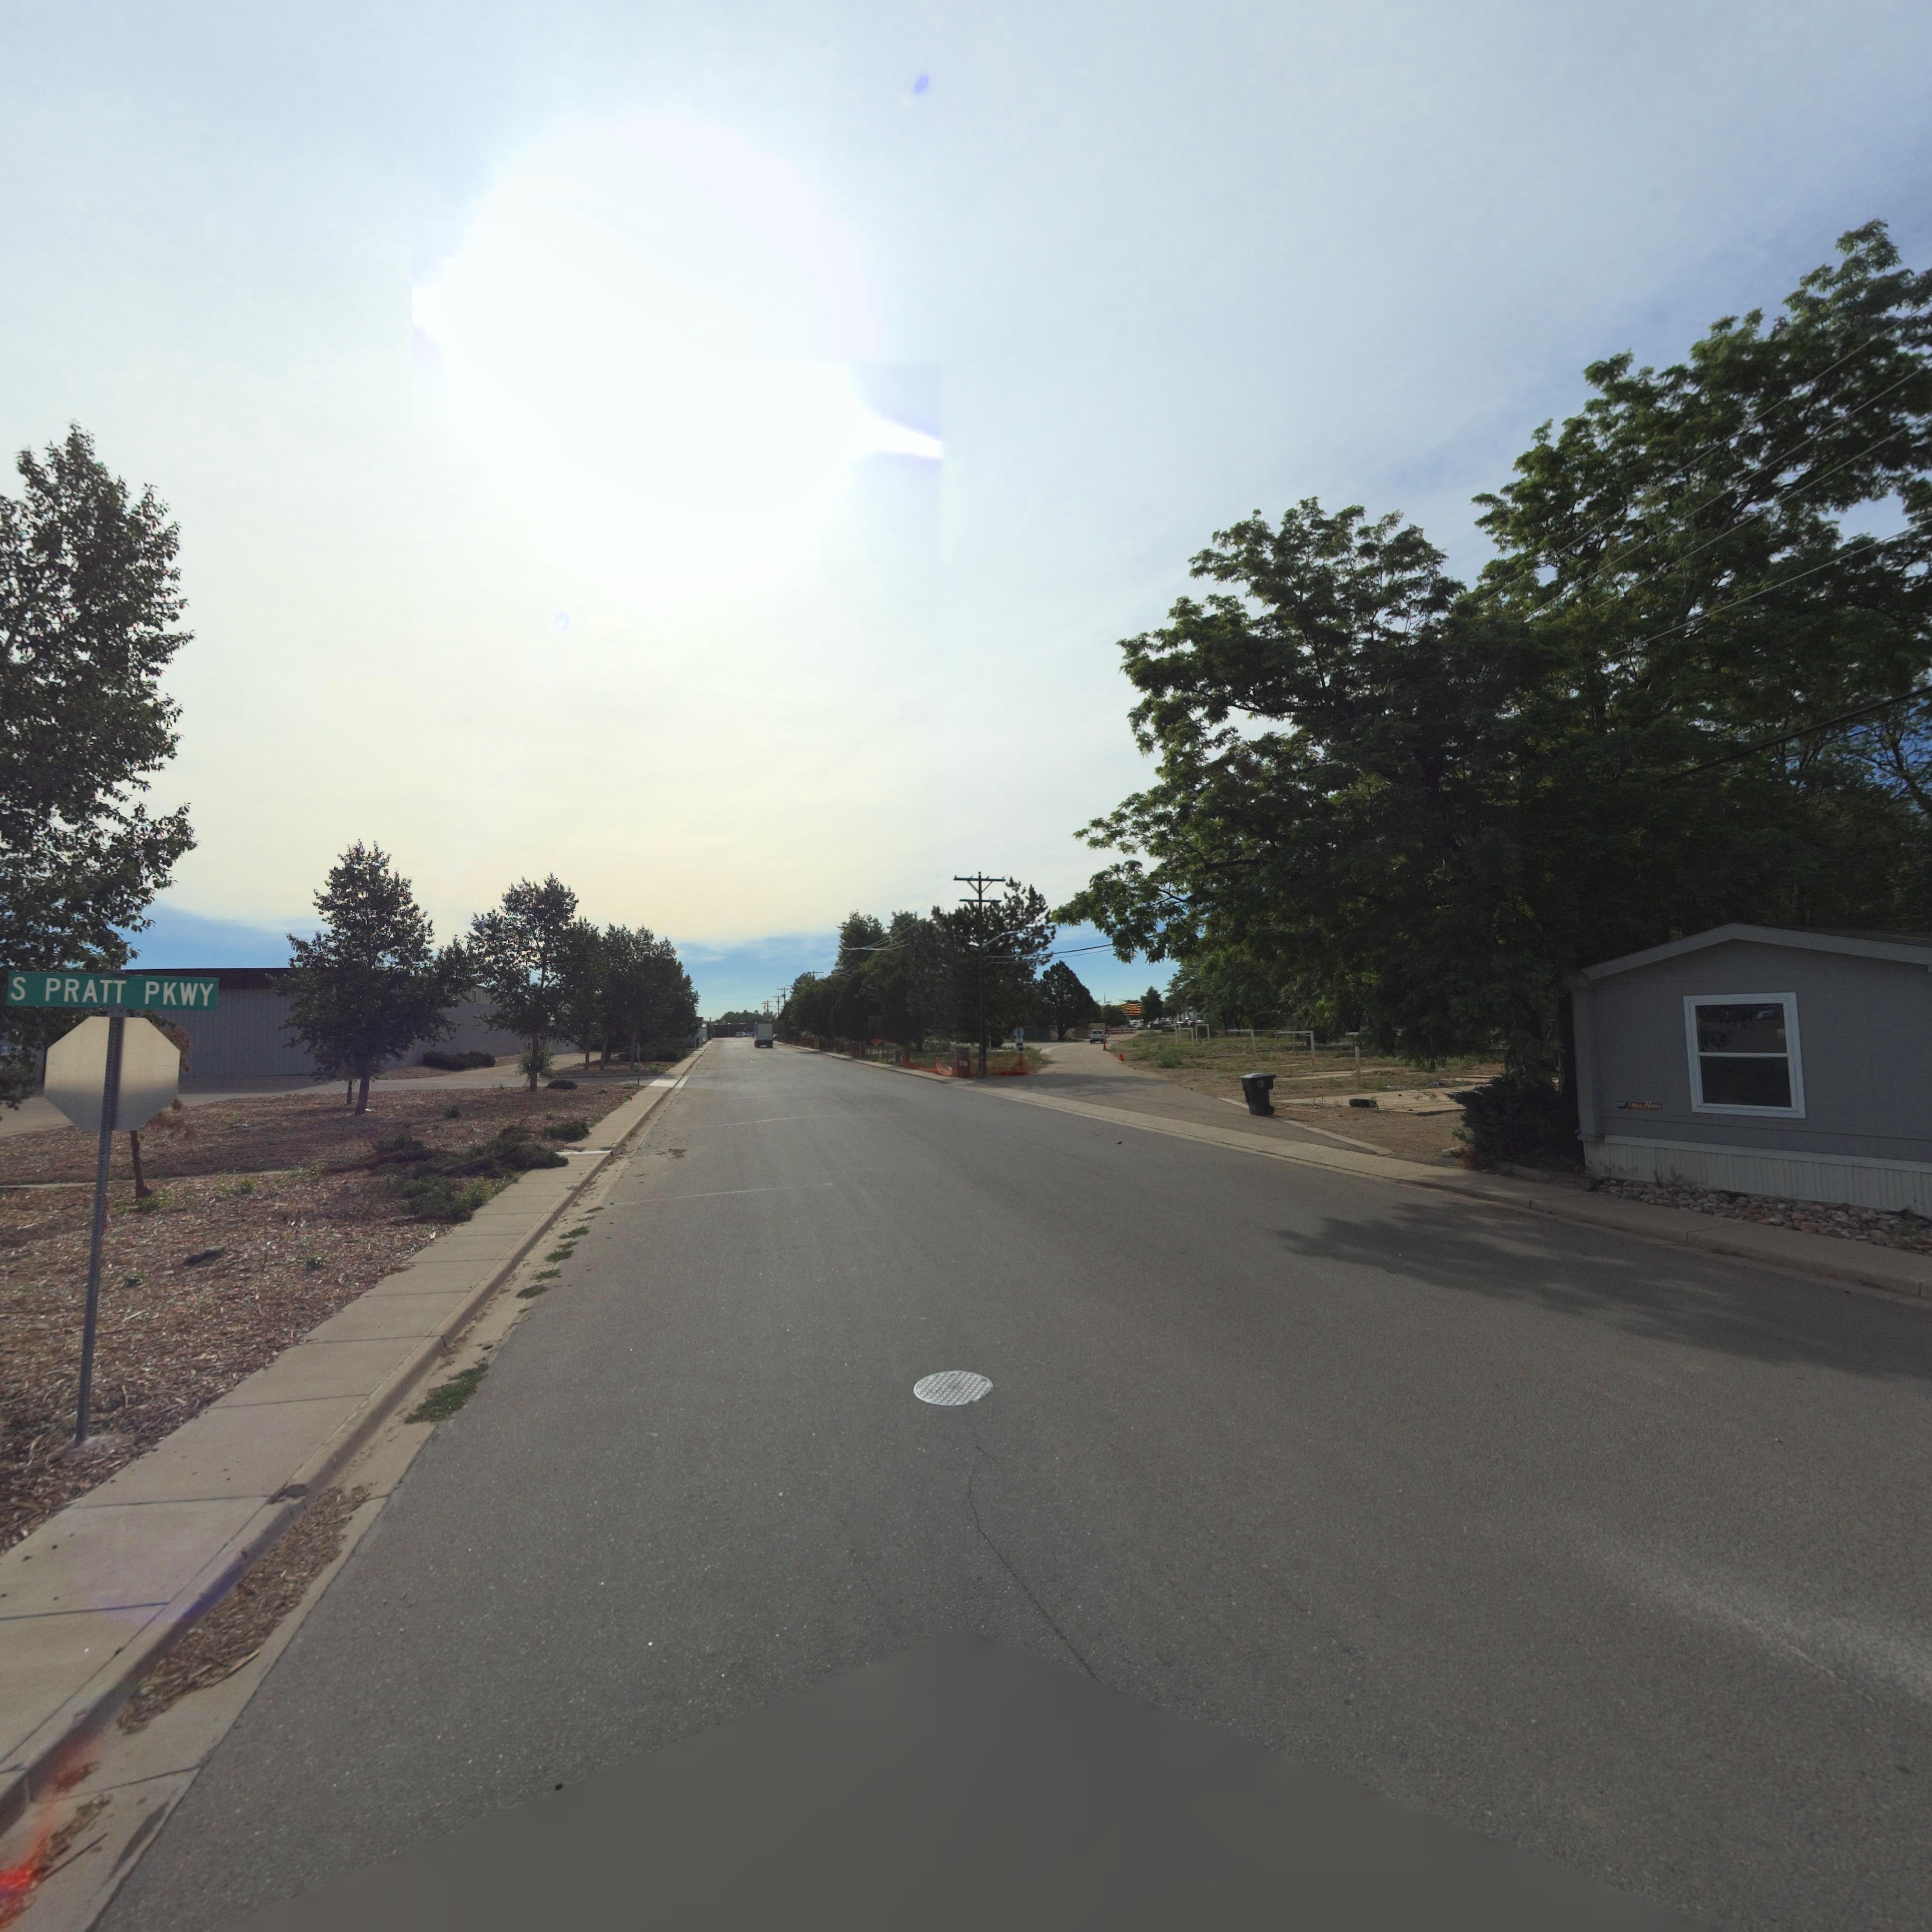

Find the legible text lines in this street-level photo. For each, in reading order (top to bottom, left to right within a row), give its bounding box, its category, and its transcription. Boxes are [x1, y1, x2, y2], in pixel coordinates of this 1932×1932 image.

[10, 976, 216, 1007] StreetName: S PRATT PKWY